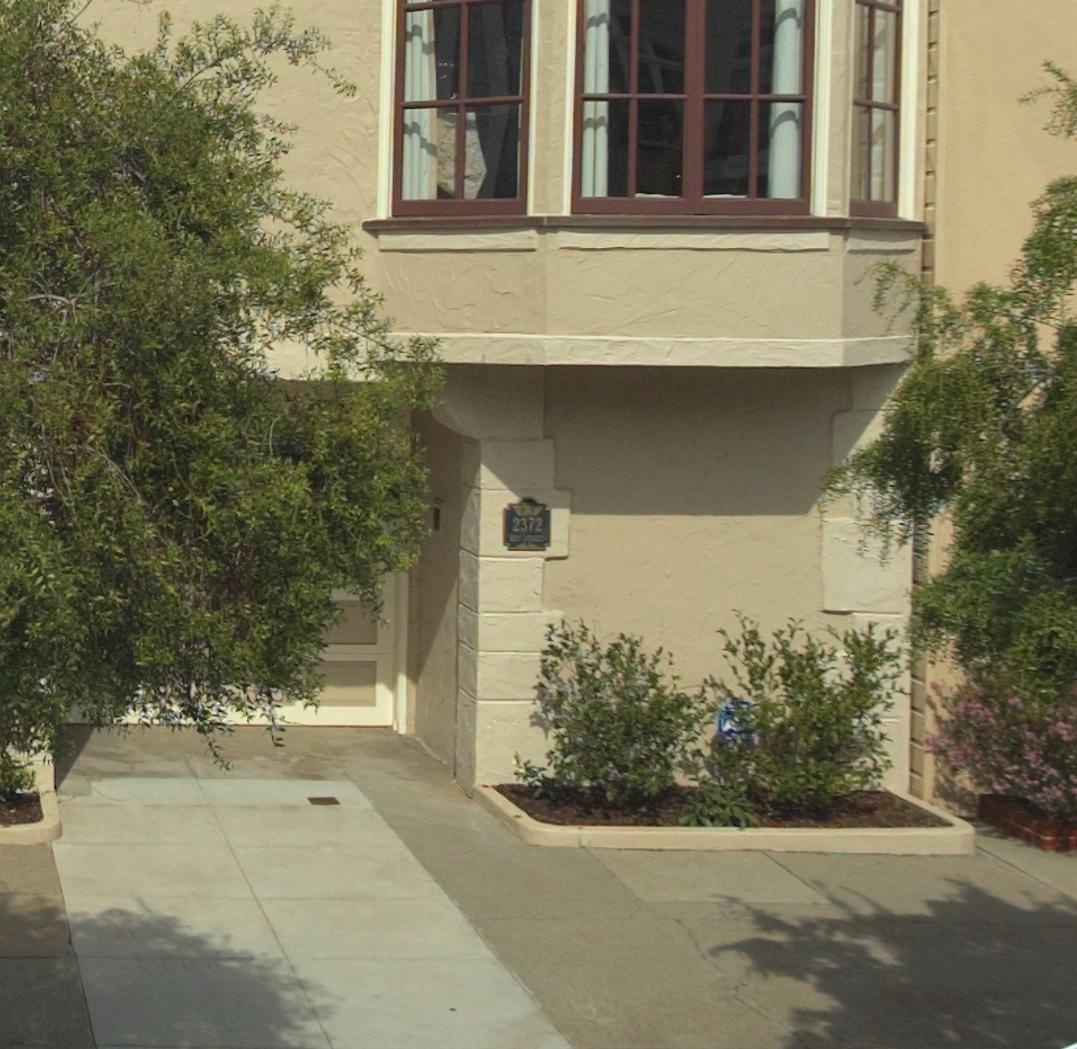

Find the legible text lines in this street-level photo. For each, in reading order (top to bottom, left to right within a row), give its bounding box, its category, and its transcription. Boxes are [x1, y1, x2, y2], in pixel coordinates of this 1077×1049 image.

[511, 515, 544, 534] StreetNumber: 2372